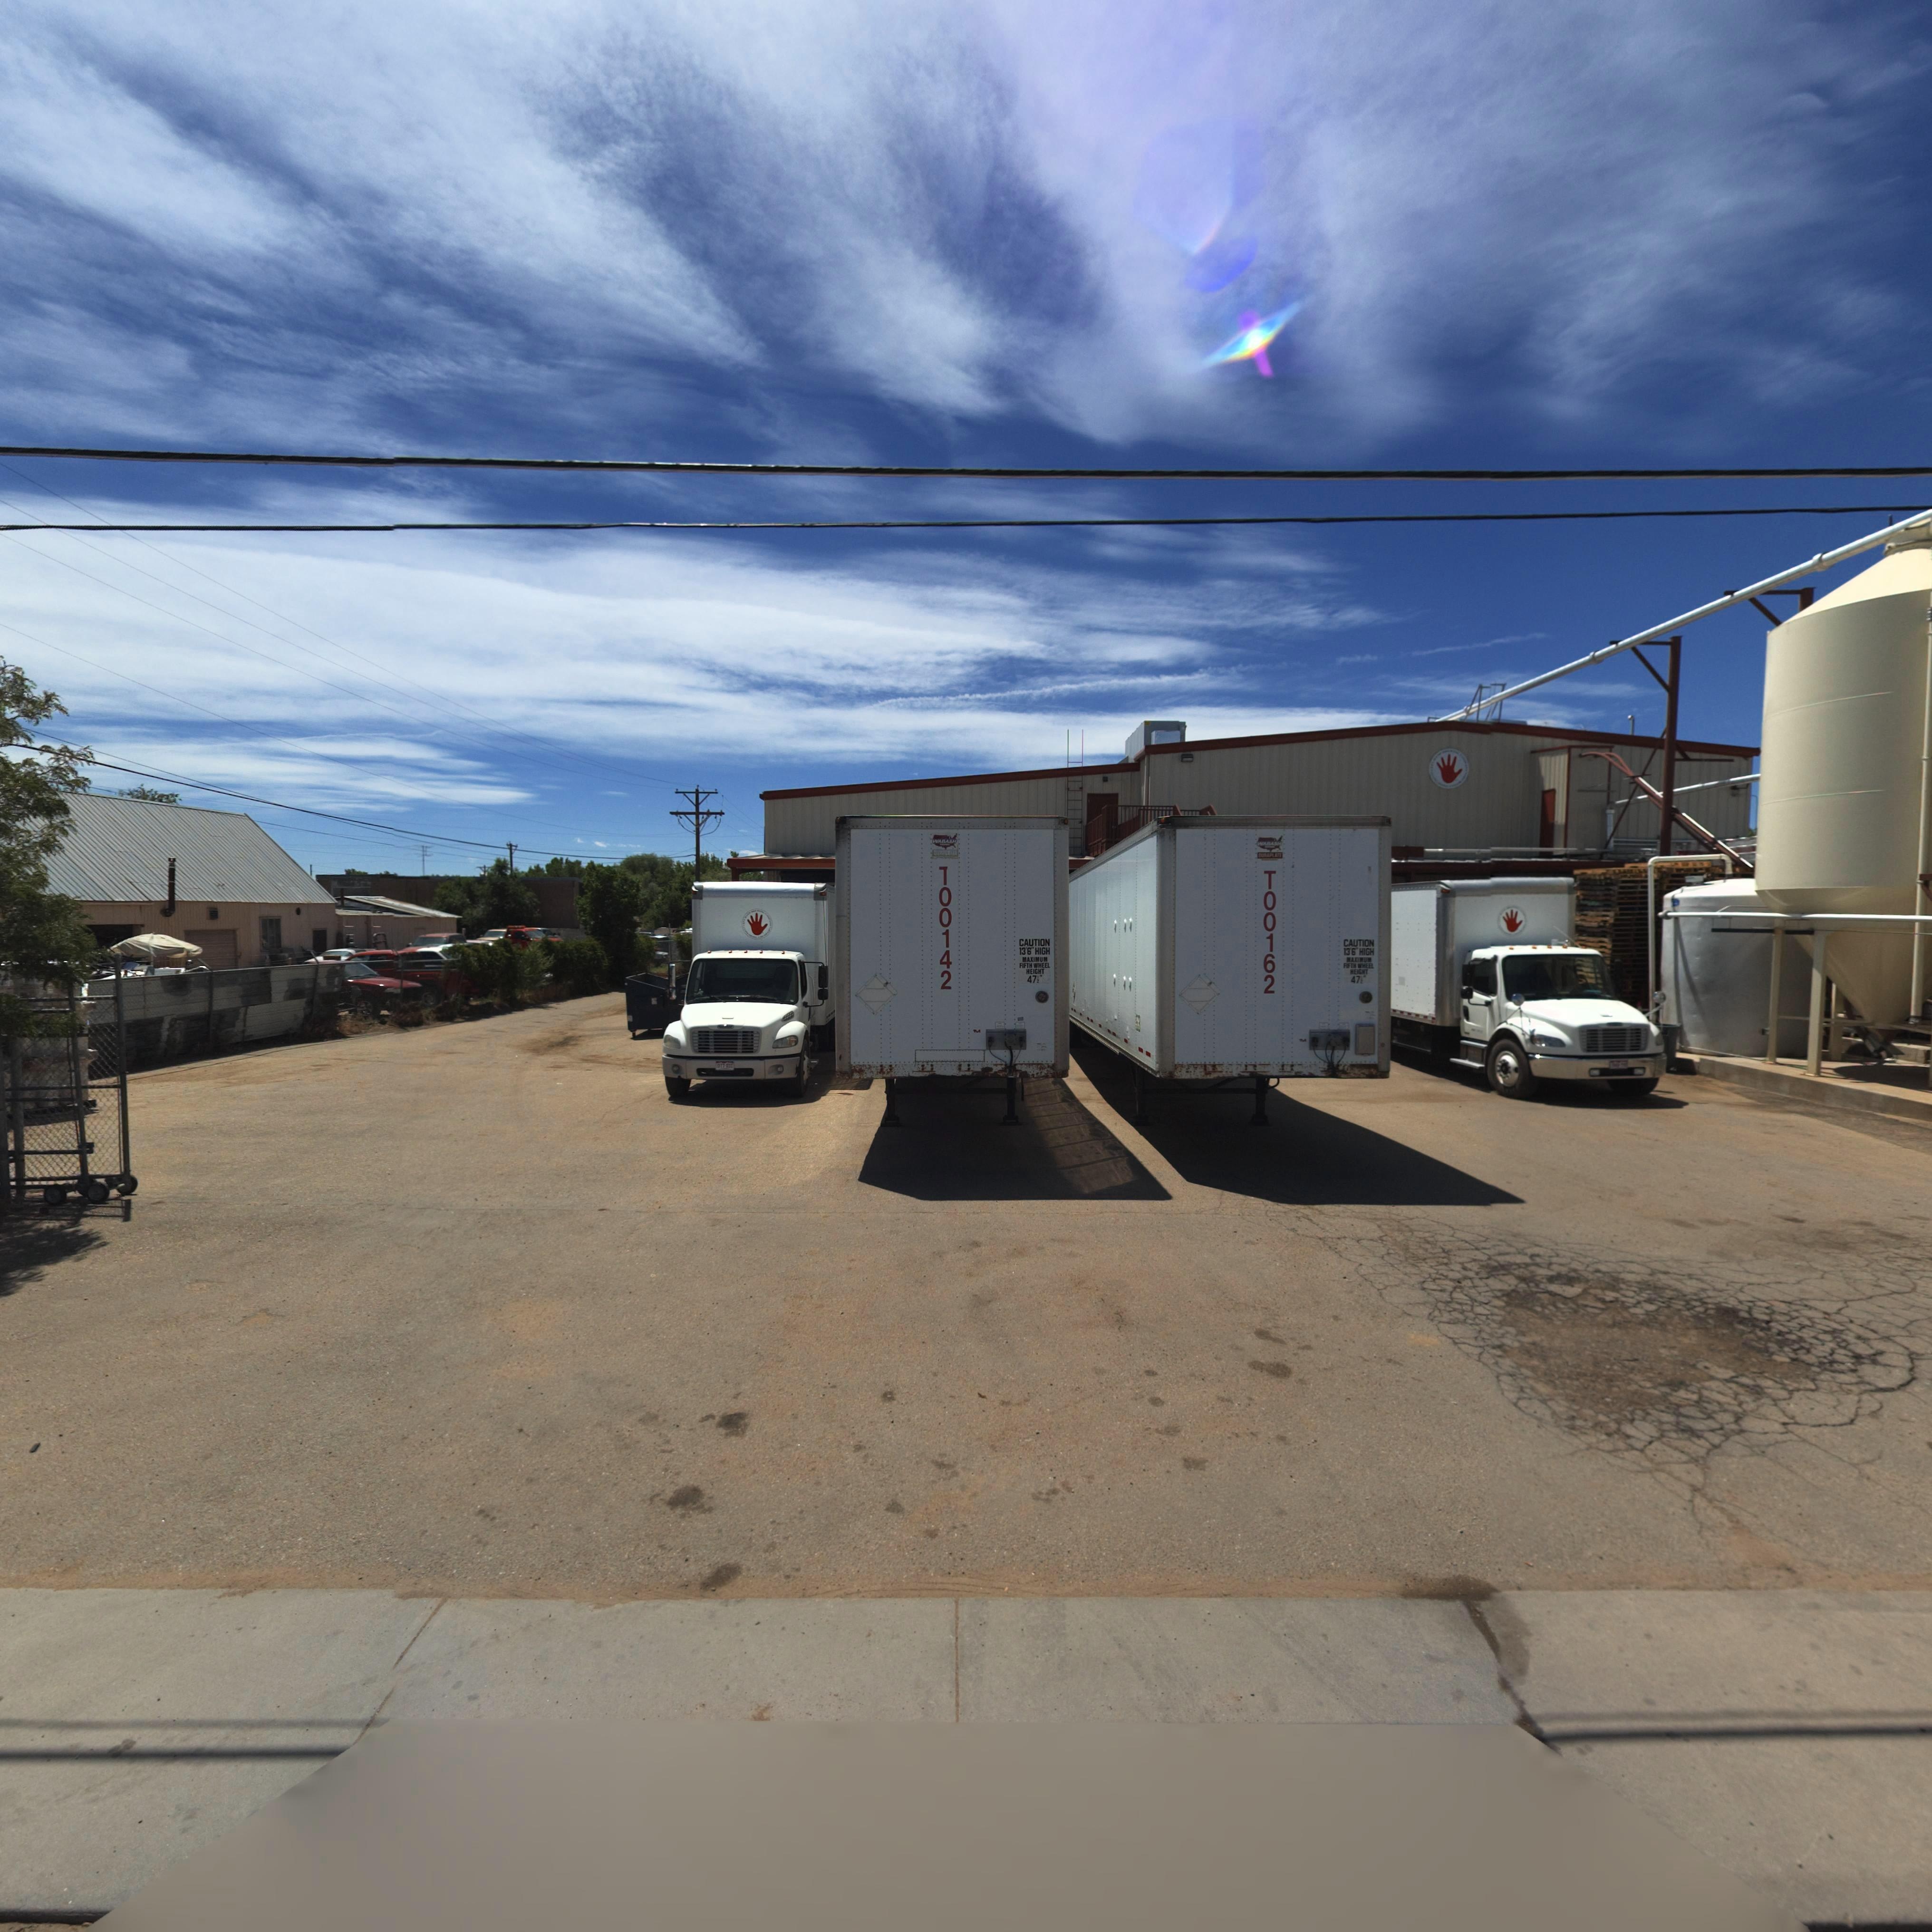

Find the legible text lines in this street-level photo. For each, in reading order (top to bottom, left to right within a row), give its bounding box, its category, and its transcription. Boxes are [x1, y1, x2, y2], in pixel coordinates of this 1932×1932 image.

[1019, 939, 1049, 946] BusinessName: CAUTION